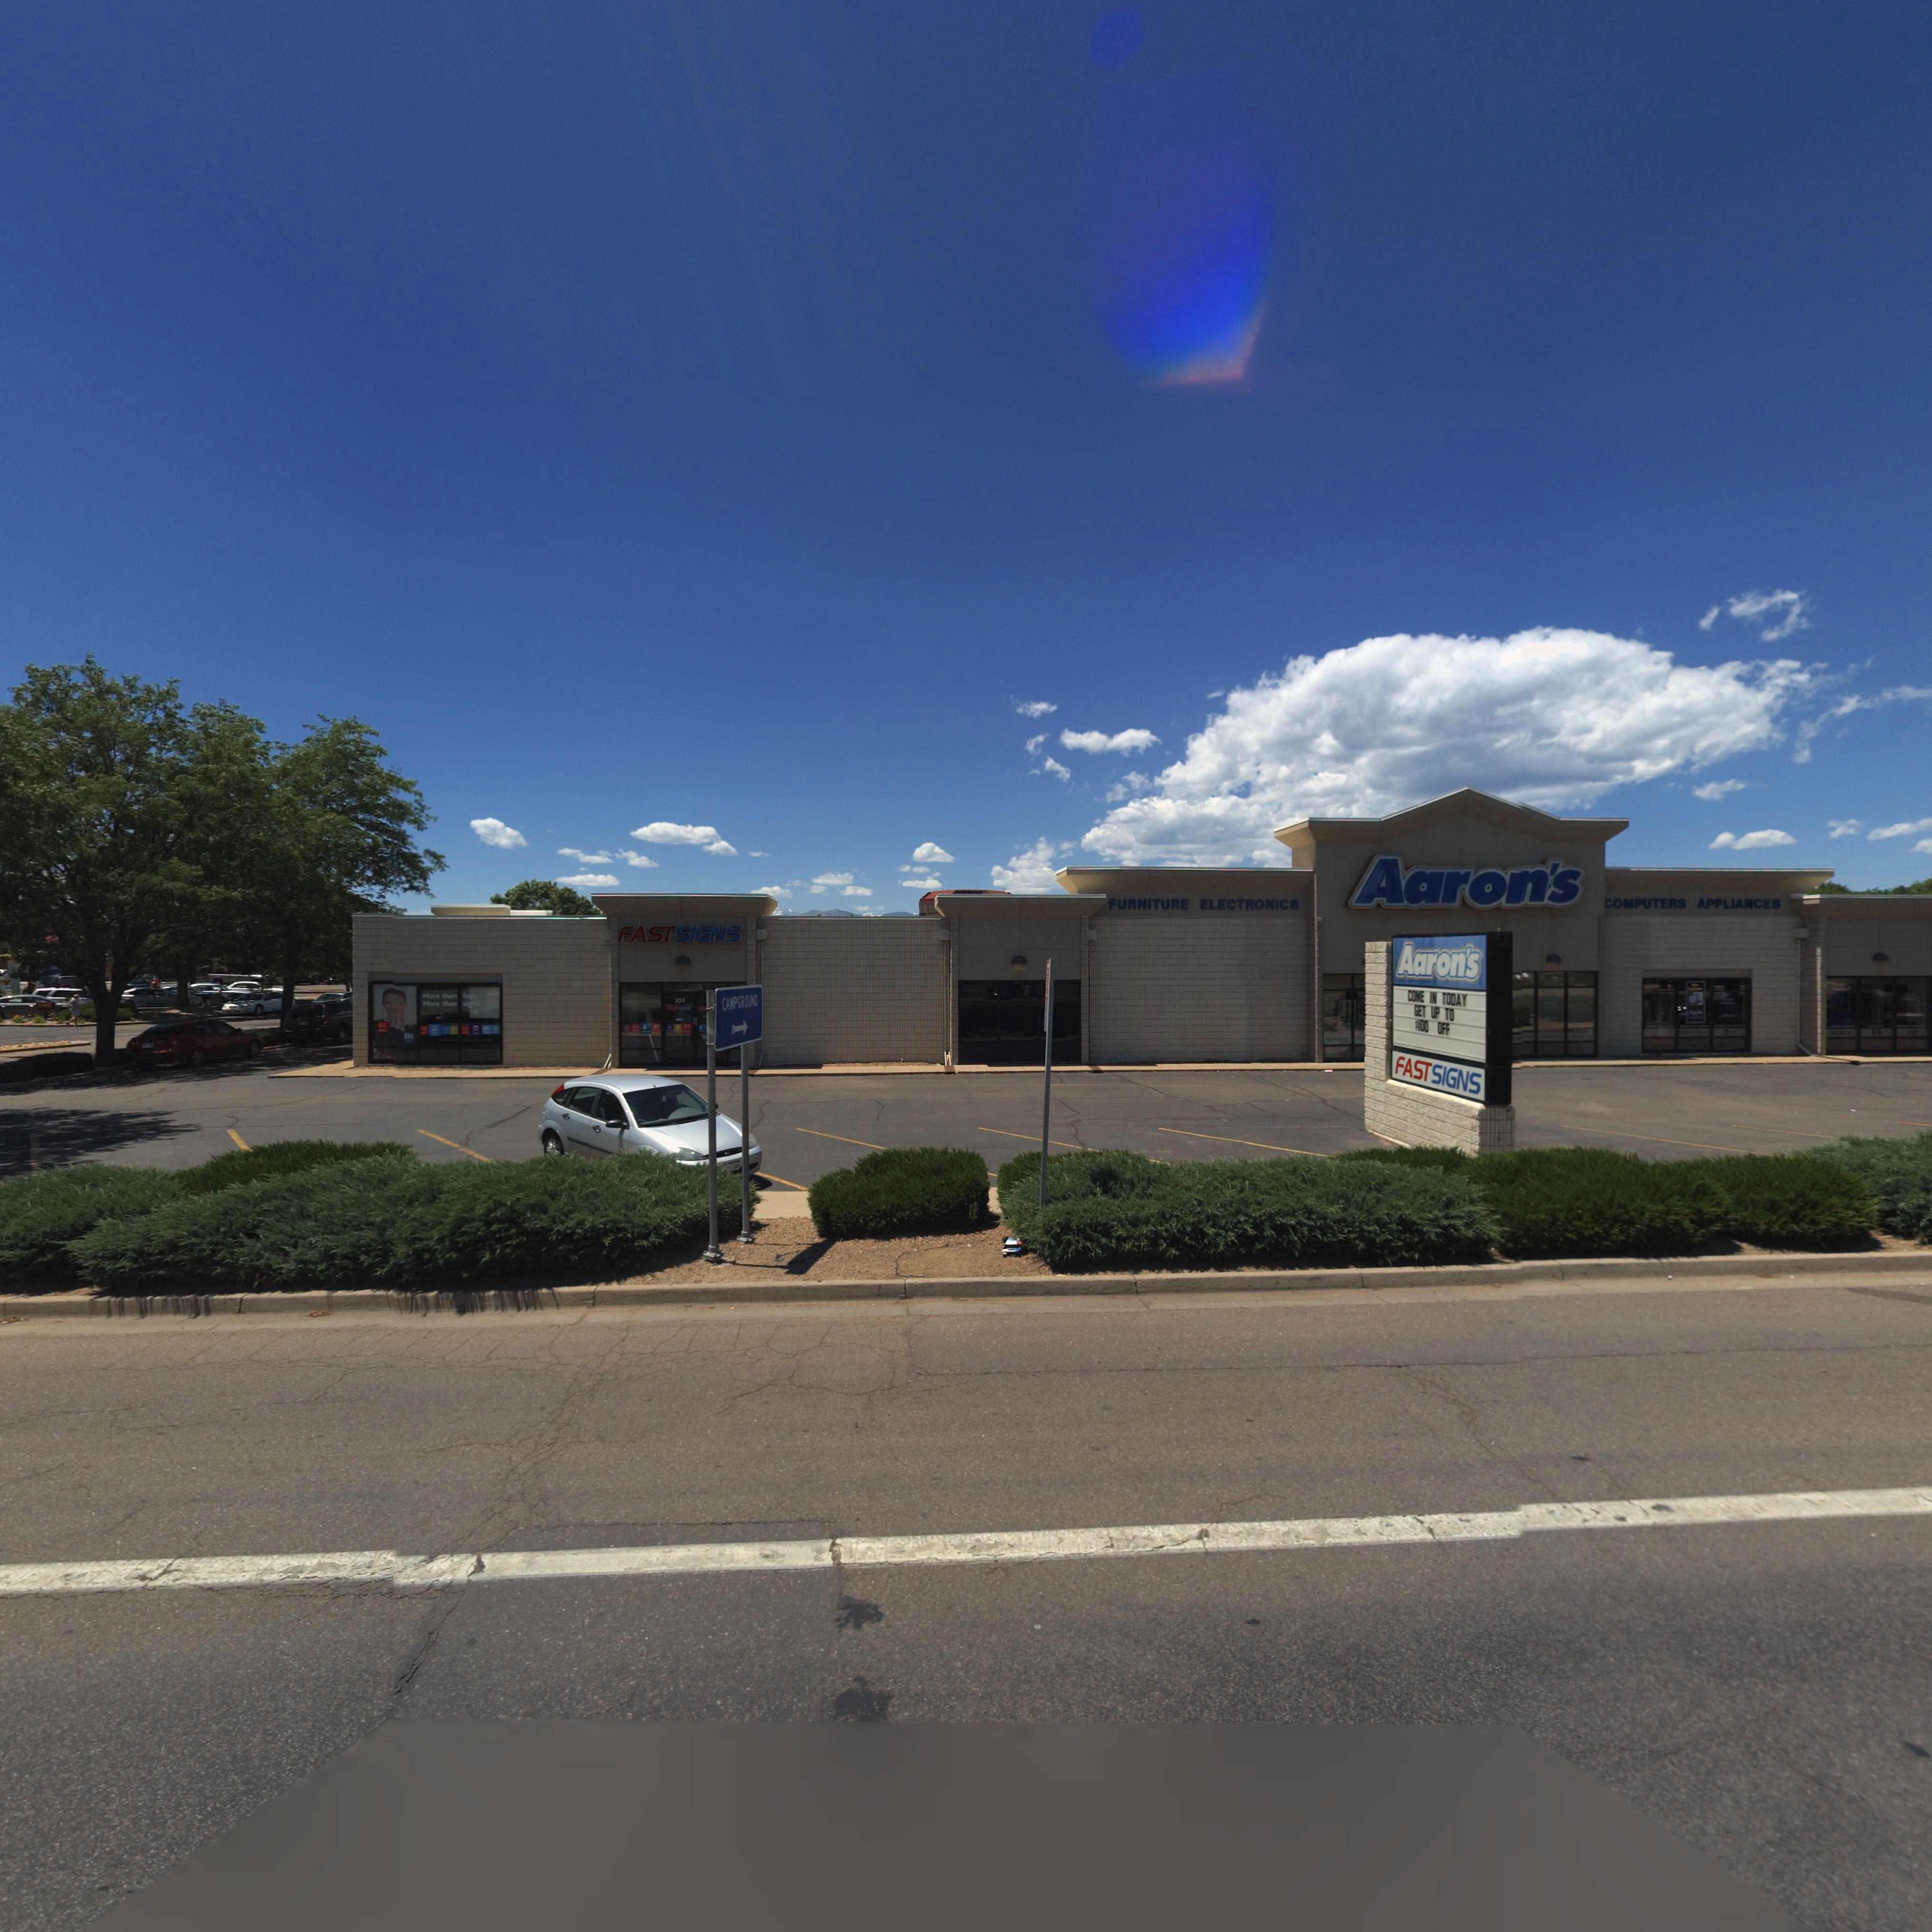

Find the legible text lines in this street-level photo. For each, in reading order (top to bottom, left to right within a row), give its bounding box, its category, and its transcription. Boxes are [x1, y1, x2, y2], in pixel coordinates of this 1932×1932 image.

[1348, 854, 1586, 909] BusinessName: Aaron's
[615, 925, 743, 942] BusinessName: FASTSIGNS
[1394, 942, 1481, 981] BusinessName: Aaron's
[674, 997, 685, 1003] StreetNumber: 203
[1394, 1055, 1482, 1095] BusinessName: FAST SIGNS